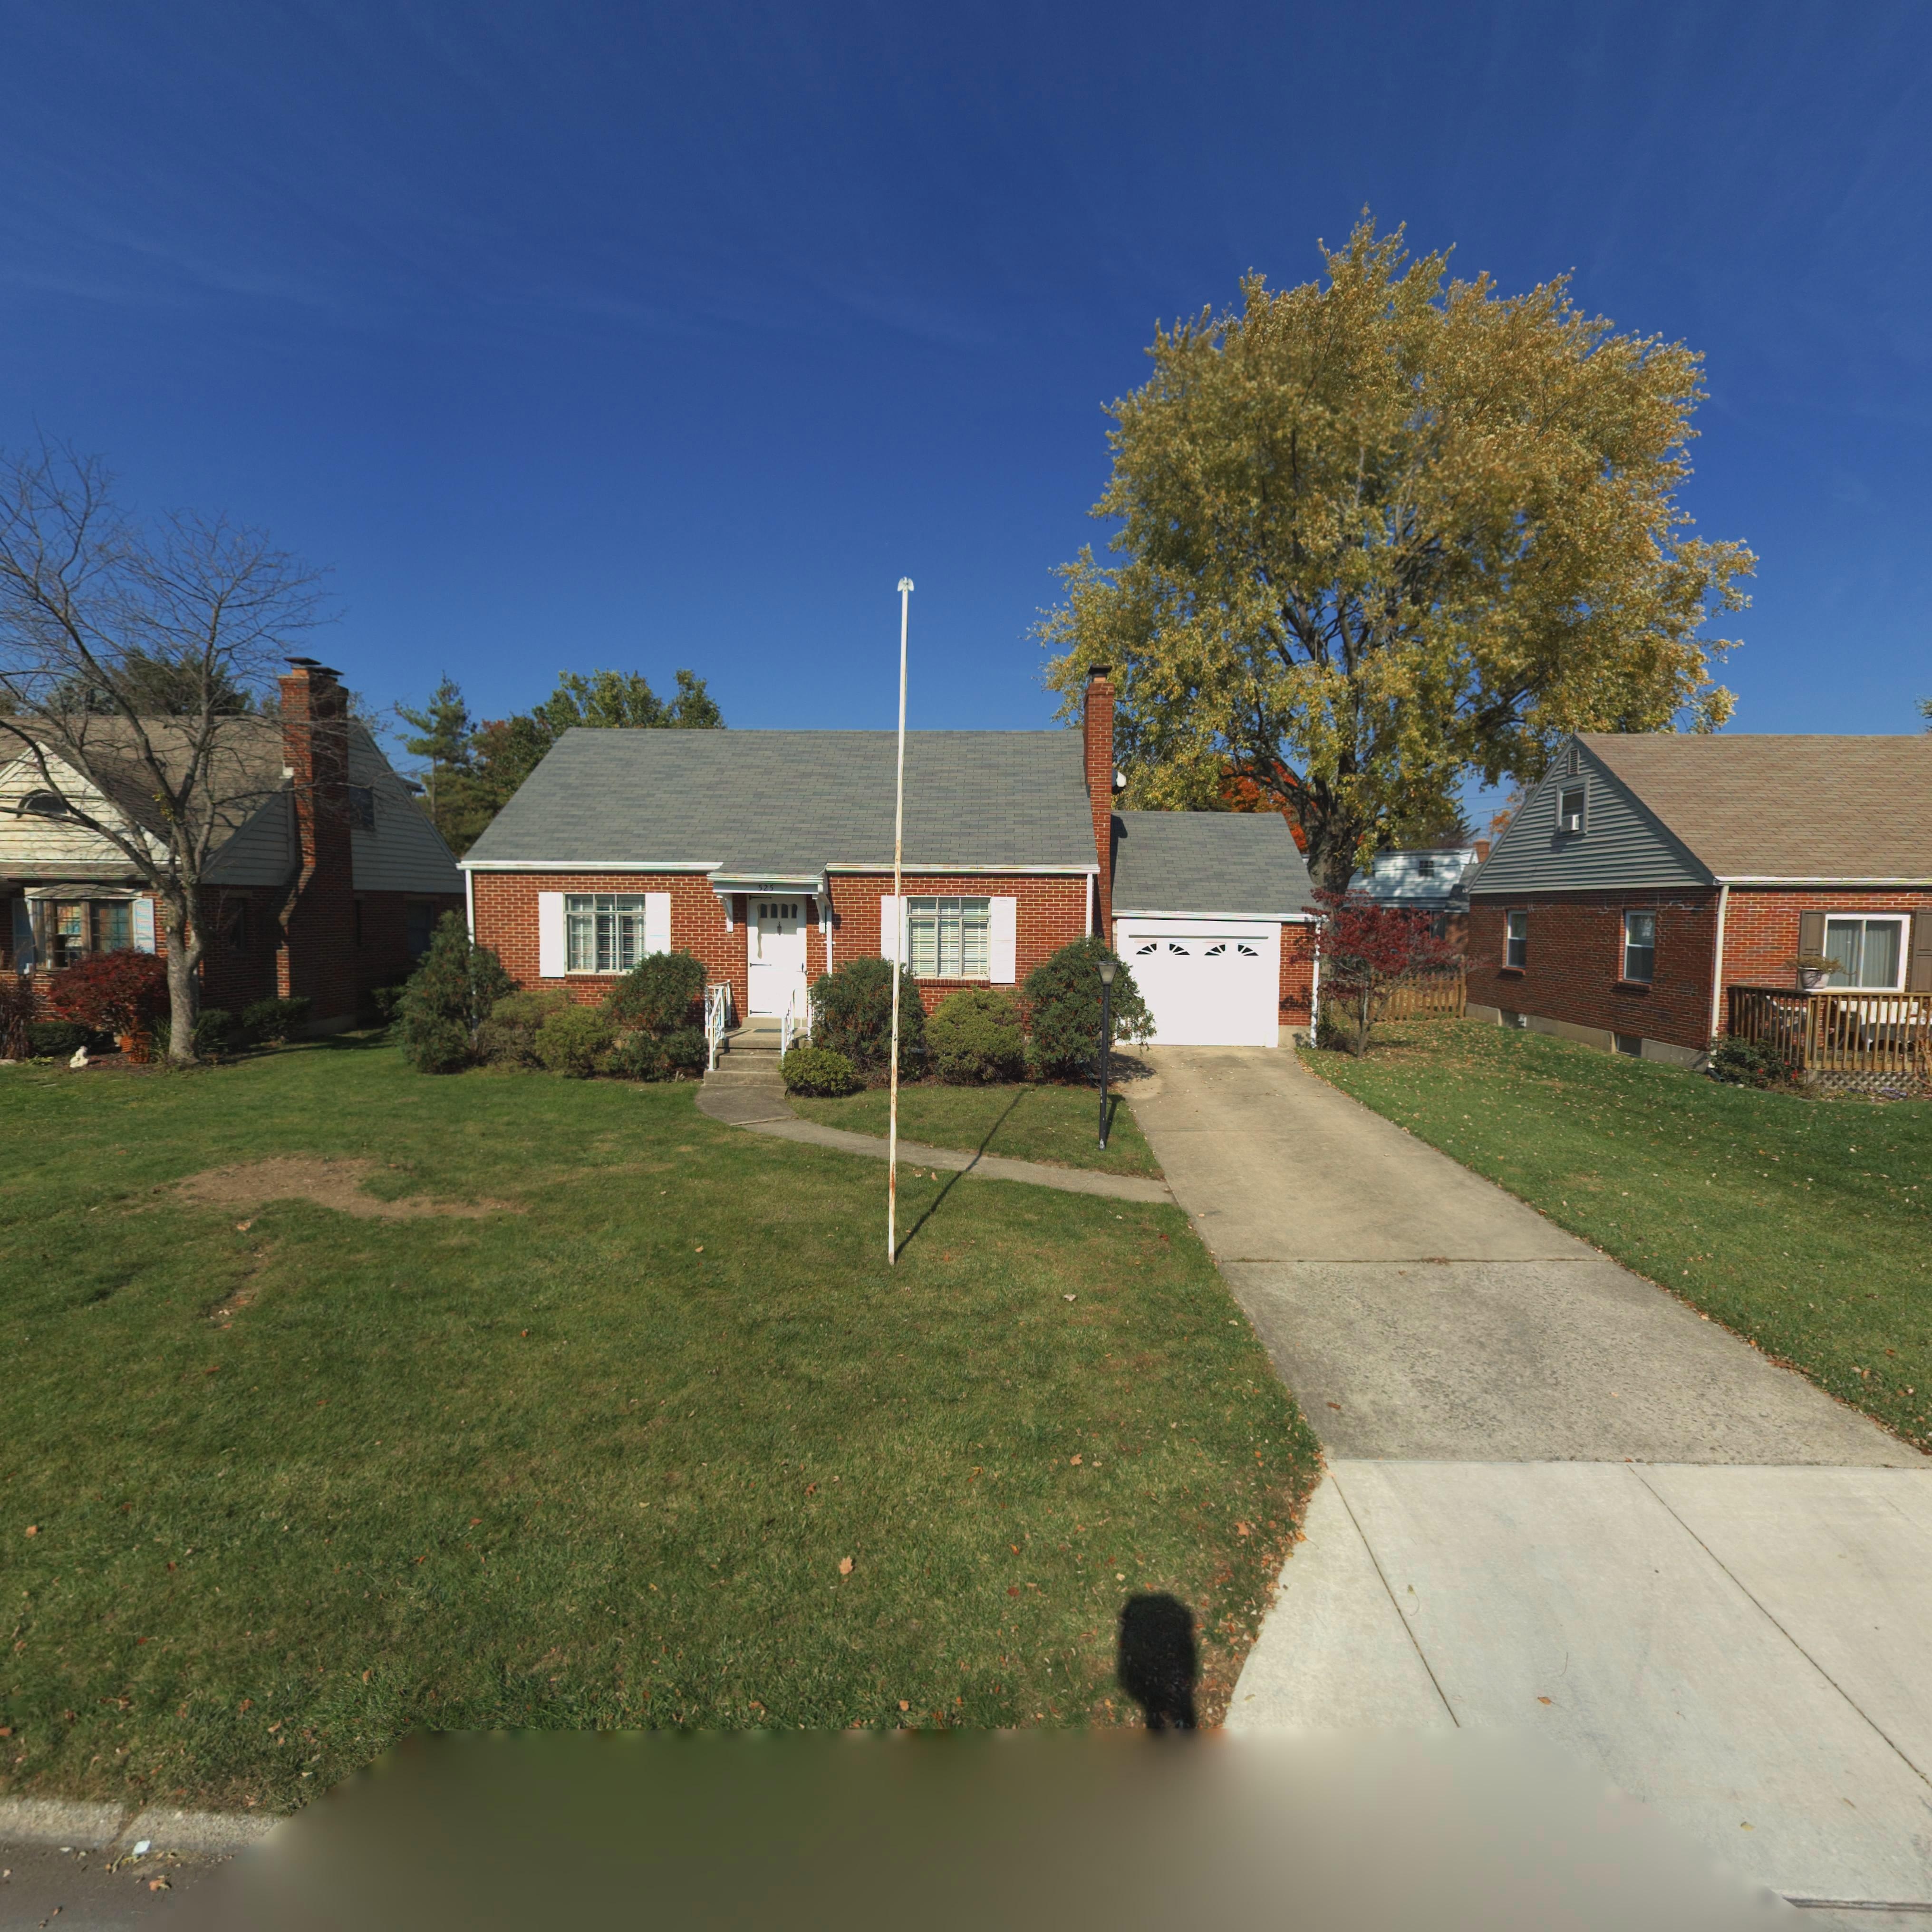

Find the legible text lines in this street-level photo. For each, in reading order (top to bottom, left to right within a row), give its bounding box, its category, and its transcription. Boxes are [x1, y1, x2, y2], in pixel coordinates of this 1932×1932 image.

[757, 884, 774, 891] StreetNumber: 525